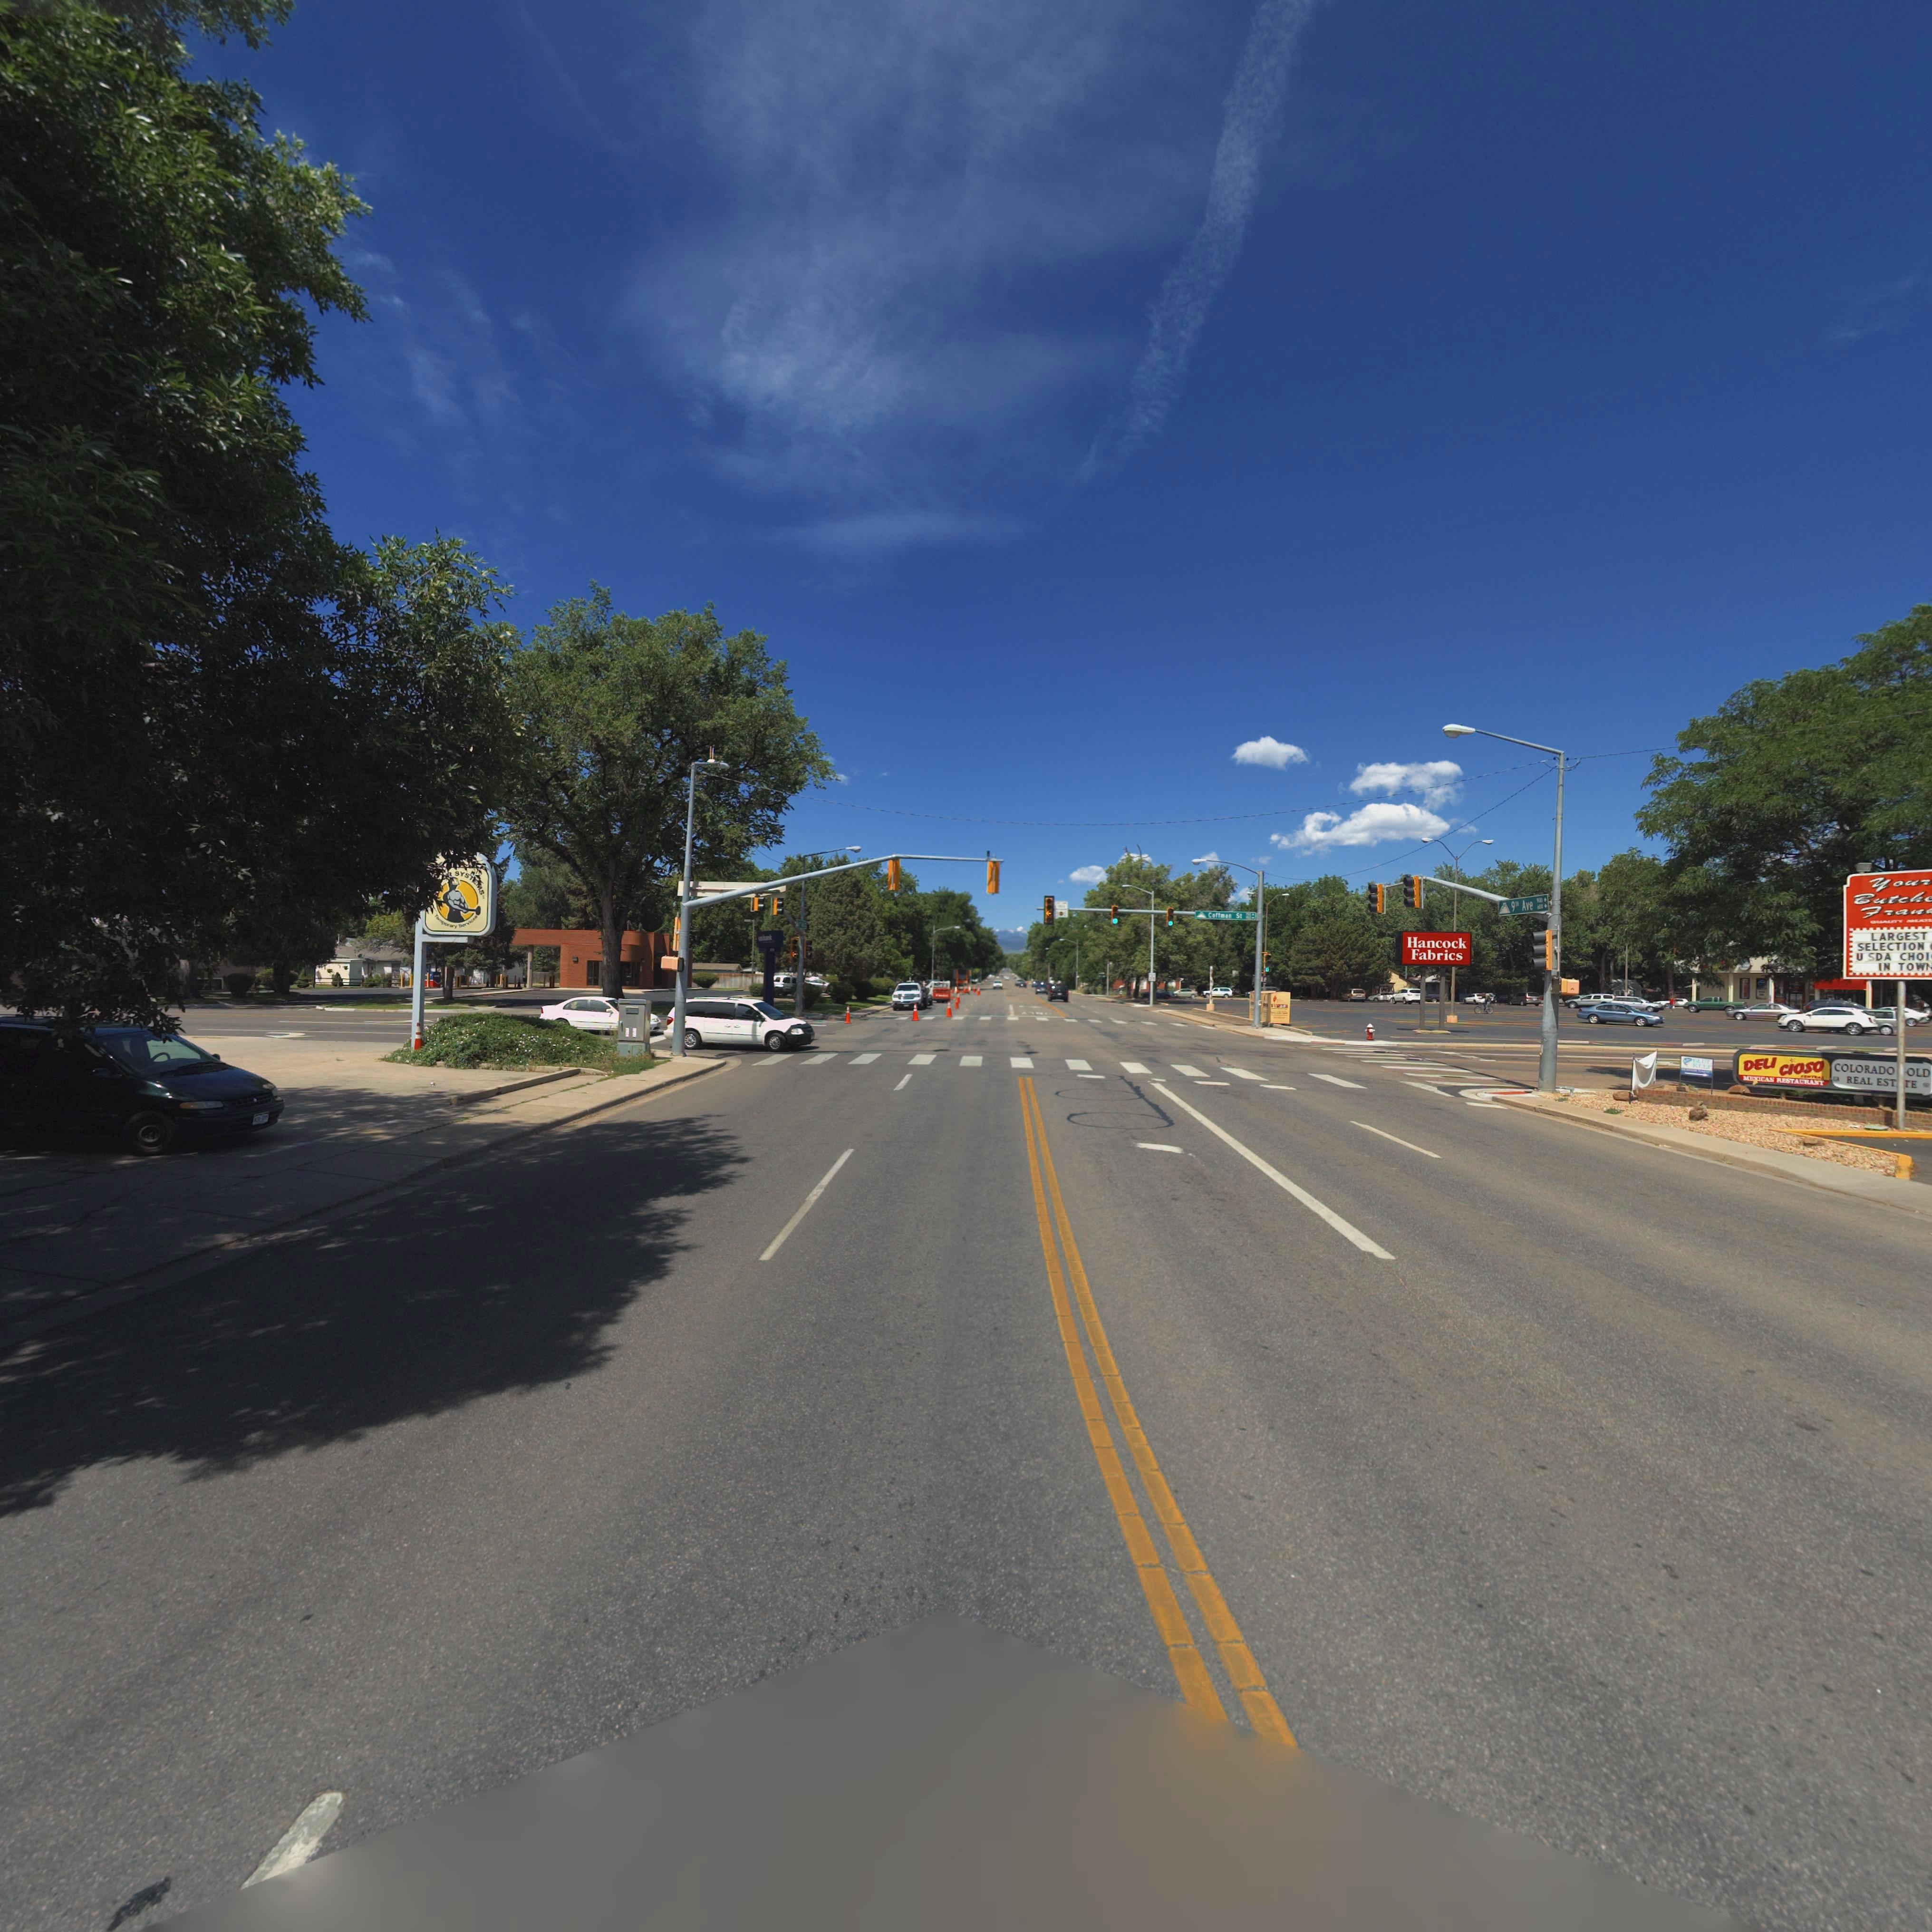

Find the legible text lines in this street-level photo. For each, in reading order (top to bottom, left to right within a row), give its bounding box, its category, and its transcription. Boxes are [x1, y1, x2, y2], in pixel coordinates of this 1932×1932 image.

[446, 870, 485, 895] BusinessName: * SYST**S
[1868, 876, 1931, 892] BusinessName: Your
[1207, 912, 1242, 918] StreetName: Co***a* S*
[1510, 899, 1534, 912] StreetName: 9** Ave
[1536, 897, 1543, 903] StreetNumberRange: **0
[1536, 903, 1544, 910] StreetNumberRange: *0*
[1852, 890, 1926, 905] BusinessName: Butch
[1859, 905, 1926, 919] BusinessName: Fran
[758, 933, 773, 942] BusinessName: *s ****
[1406, 936, 1468, 949] BusinessName: Hancock
[1410, 949, 1463, 961] BusinessName: Fabrics
[1692, 1062, 1711, 1070] BusinessName: R***
[1693, 1058, 1711, 1064] BusinessName: **U*
[1743, 1056, 1778, 1072] BusinessName: DELI
[1778, 1060, 1825, 1077] BusinessName: CISO
[1833, 1063, 1931, 1078] BusinessName: COLORADO *OLD
[1742, 1075, 1825, 1086] BusinessName: **I*A* **STA*R**T
[1846, 1075, 1917, 1089] BusinessName: REAL EST**E